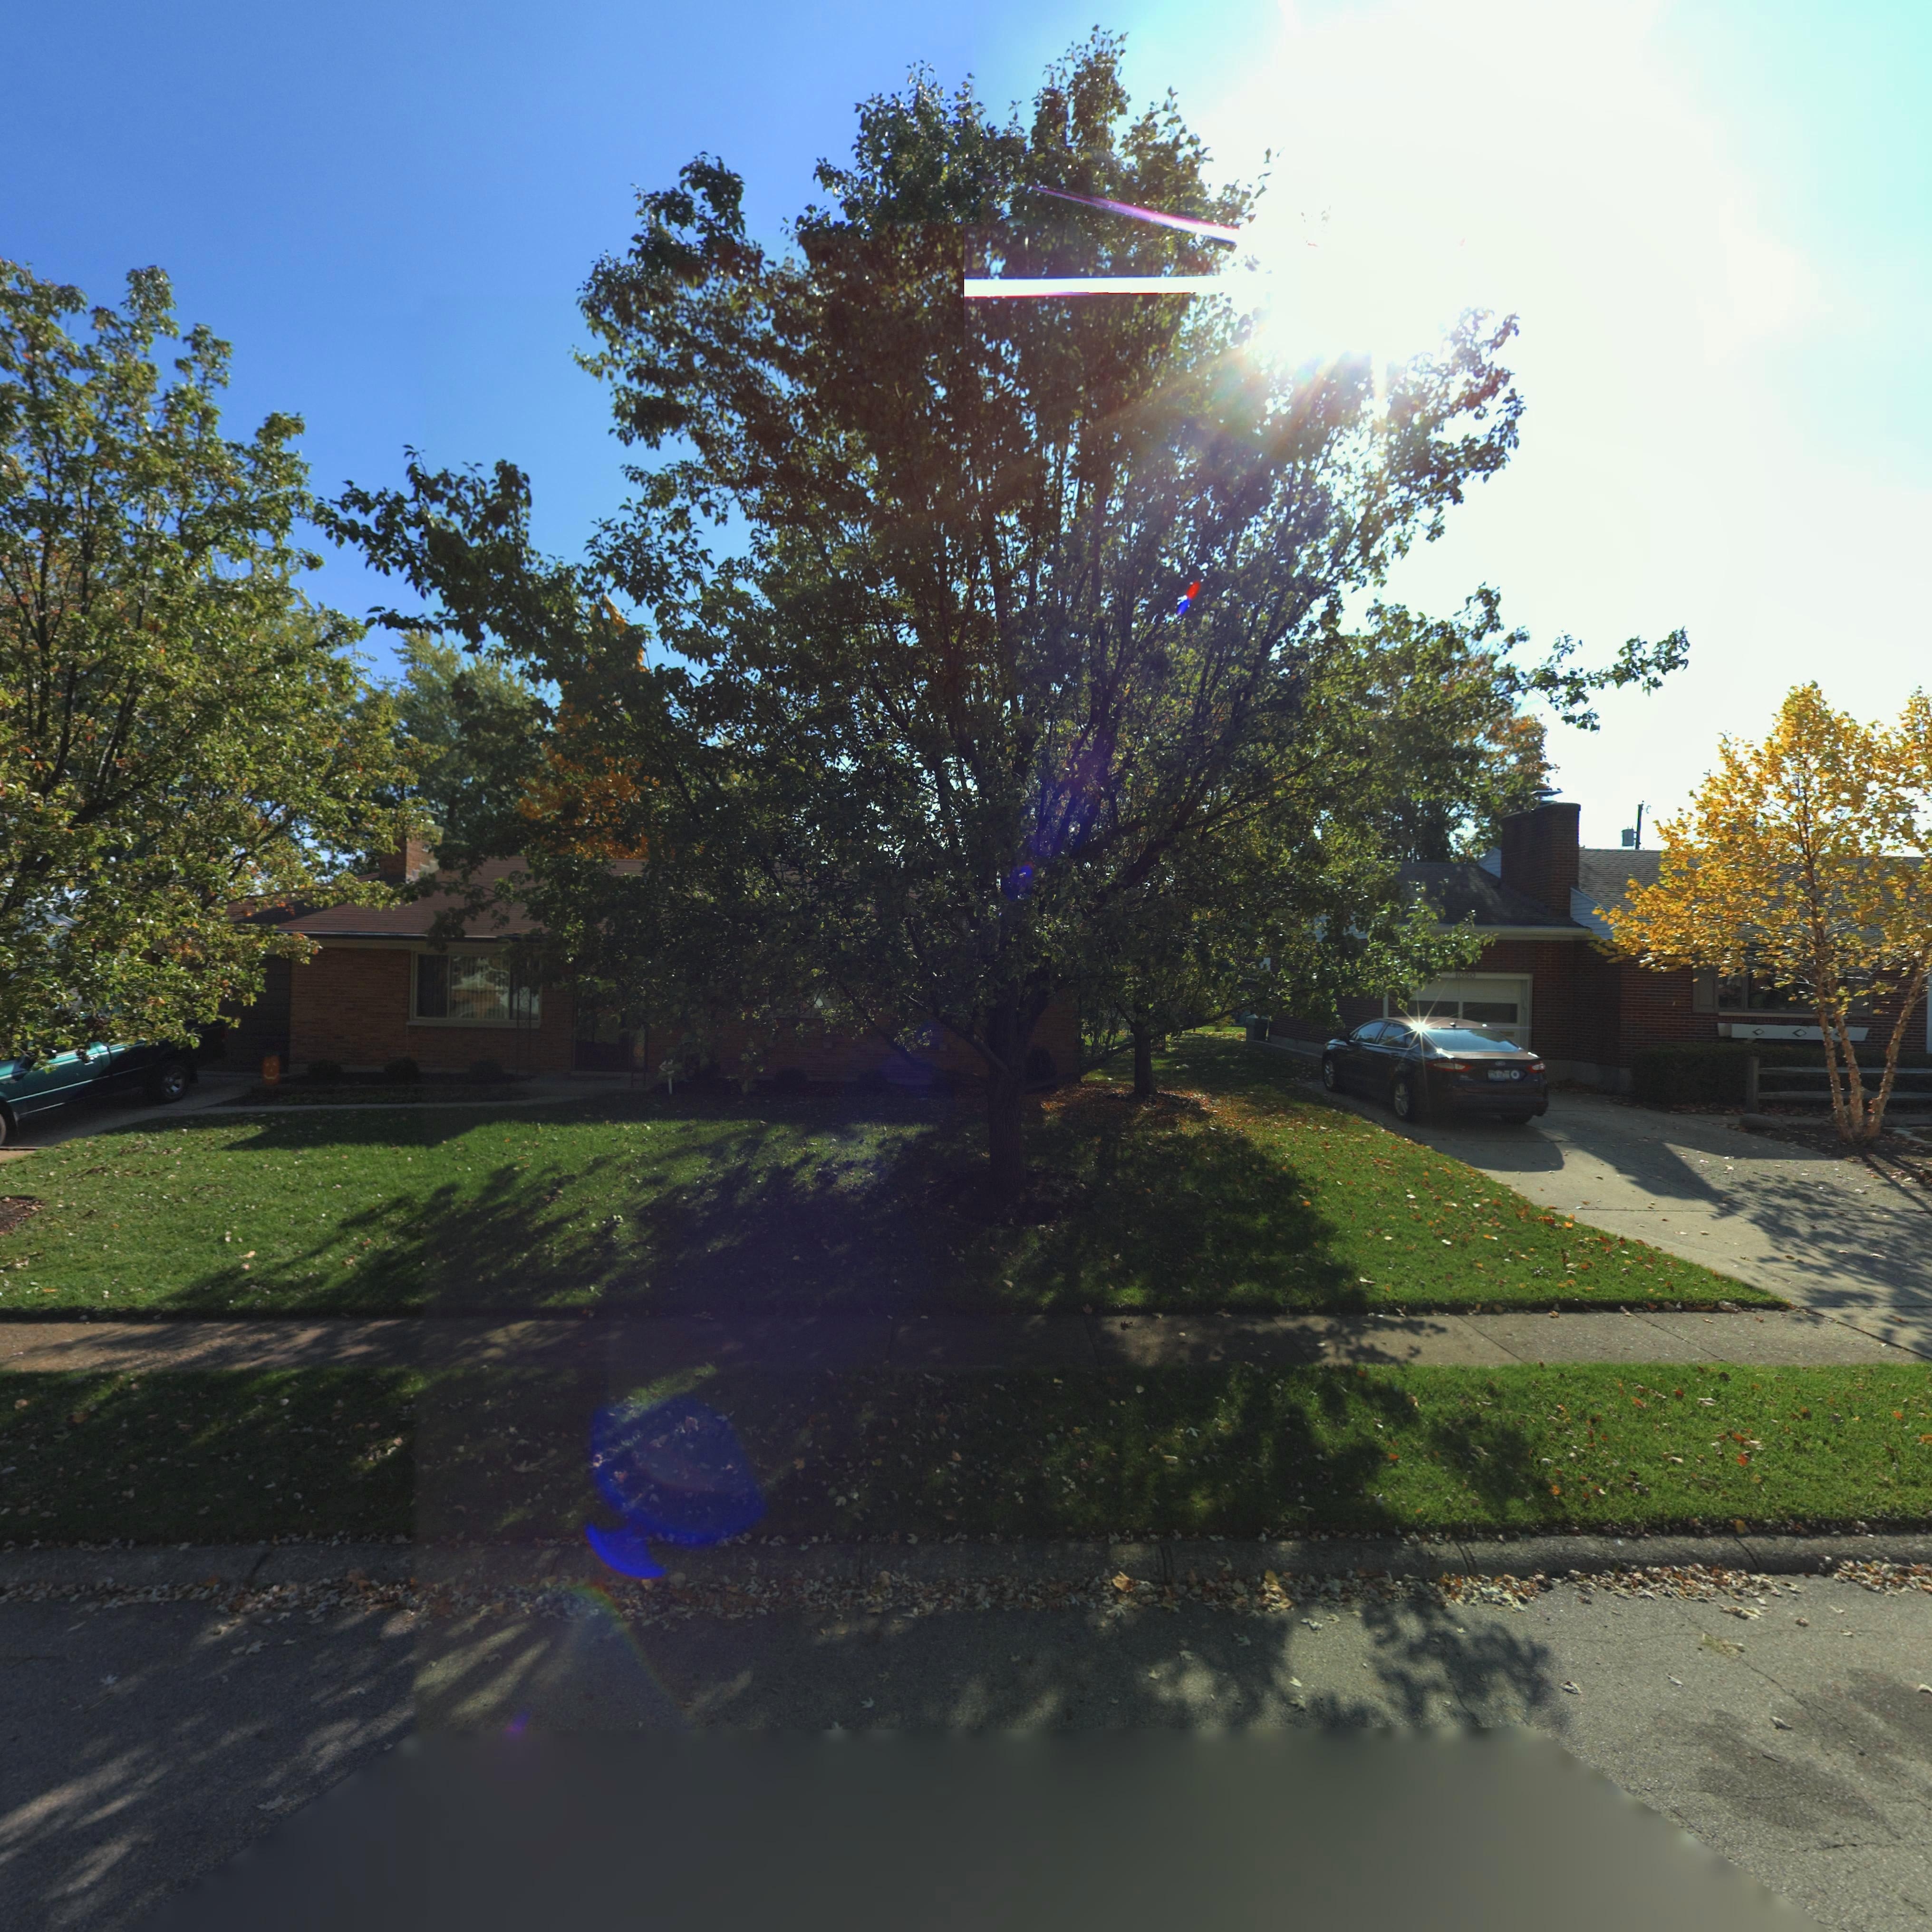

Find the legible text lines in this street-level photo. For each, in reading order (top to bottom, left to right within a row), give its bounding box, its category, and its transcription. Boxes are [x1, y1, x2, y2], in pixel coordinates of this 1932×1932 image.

[1454, 971, 1476, 978] StreetNumber: 1050